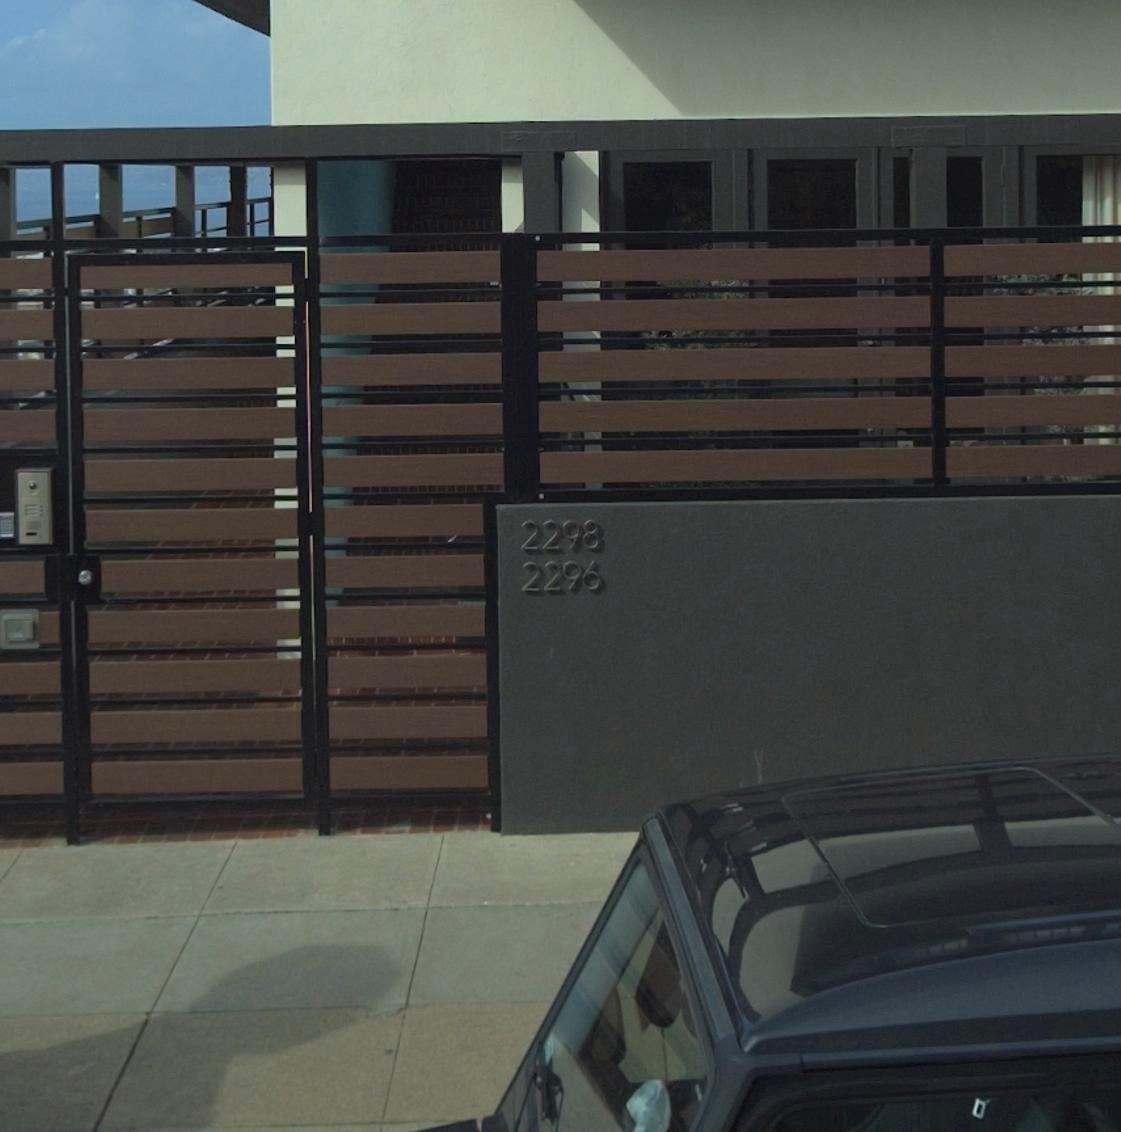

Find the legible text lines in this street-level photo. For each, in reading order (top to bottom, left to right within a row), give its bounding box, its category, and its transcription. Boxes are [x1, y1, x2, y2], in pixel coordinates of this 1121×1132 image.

[518, 517, 602, 553] StreetNumber: 2296
[518, 556, 605, 594] StreetNumber: 2296